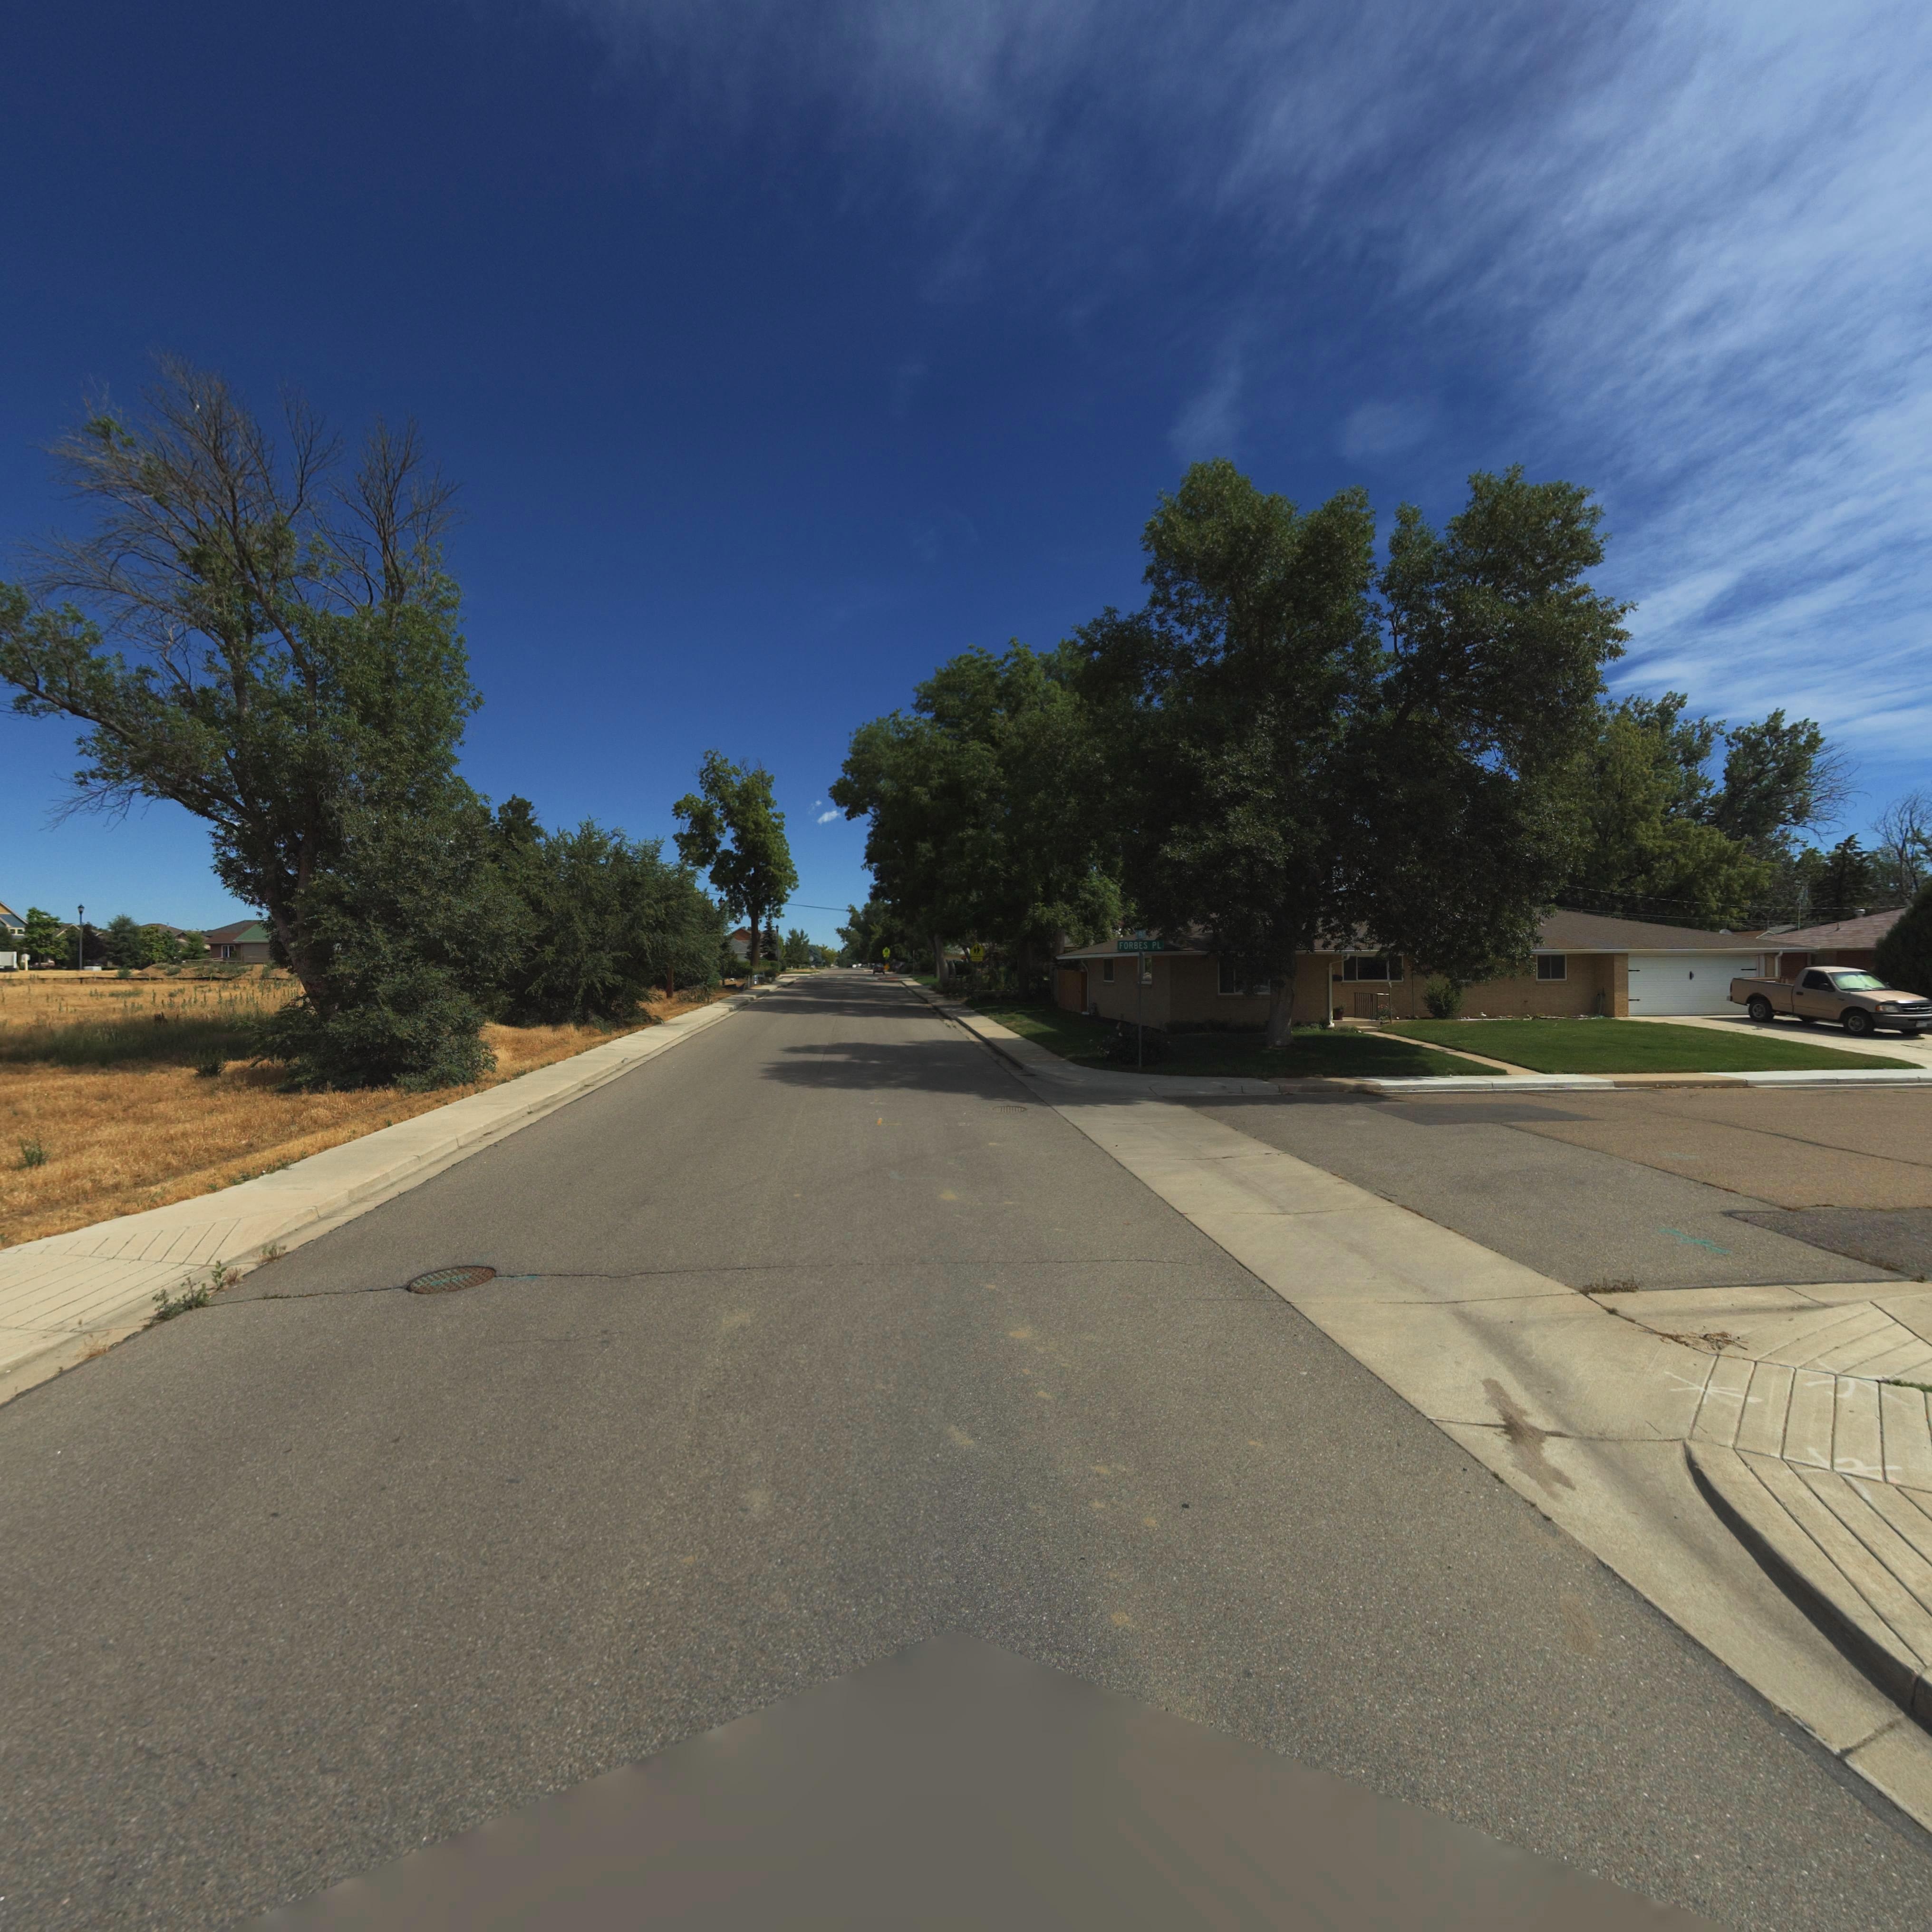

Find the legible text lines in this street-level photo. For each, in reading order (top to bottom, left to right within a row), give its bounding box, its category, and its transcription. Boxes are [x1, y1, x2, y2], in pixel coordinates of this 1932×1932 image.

[1119, 941, 1162, 949] StreetName: FORBES PL